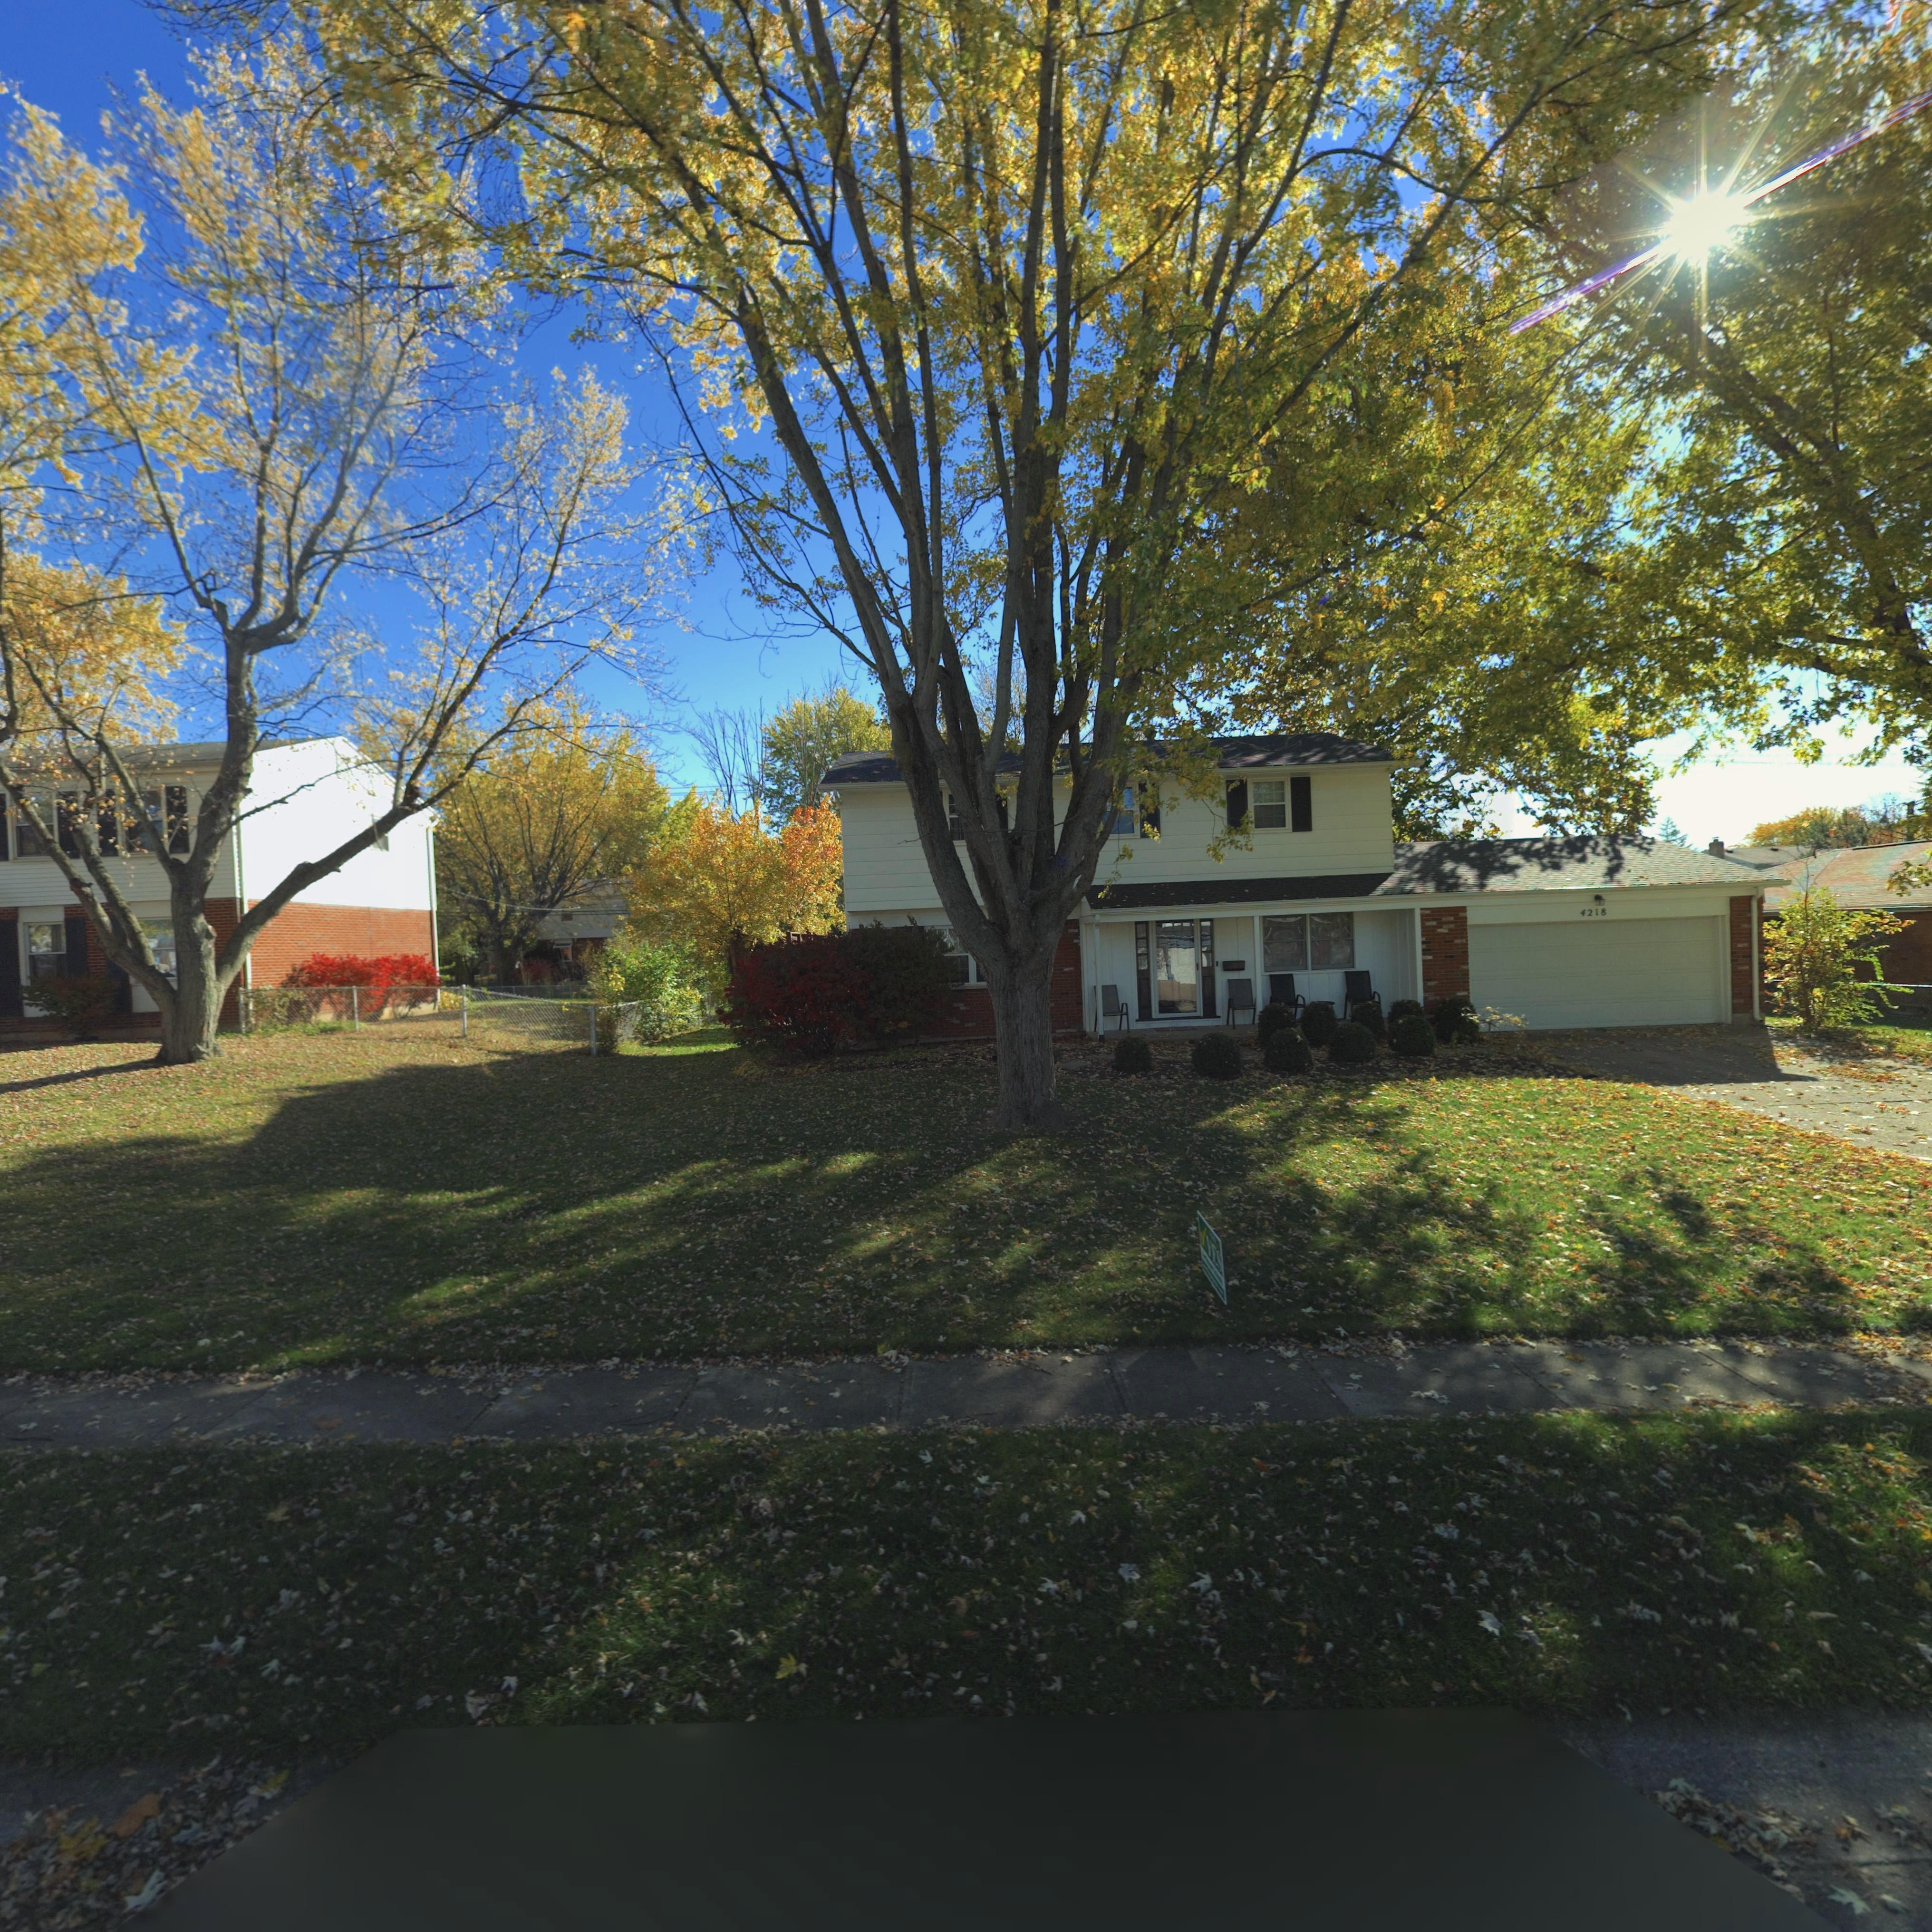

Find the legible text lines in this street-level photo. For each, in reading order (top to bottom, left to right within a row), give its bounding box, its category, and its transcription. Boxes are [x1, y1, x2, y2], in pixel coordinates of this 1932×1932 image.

[1579, 907, 1608, 918] StreetNumber: 4218
[1205, 1233, 1223, 1274] None: YES